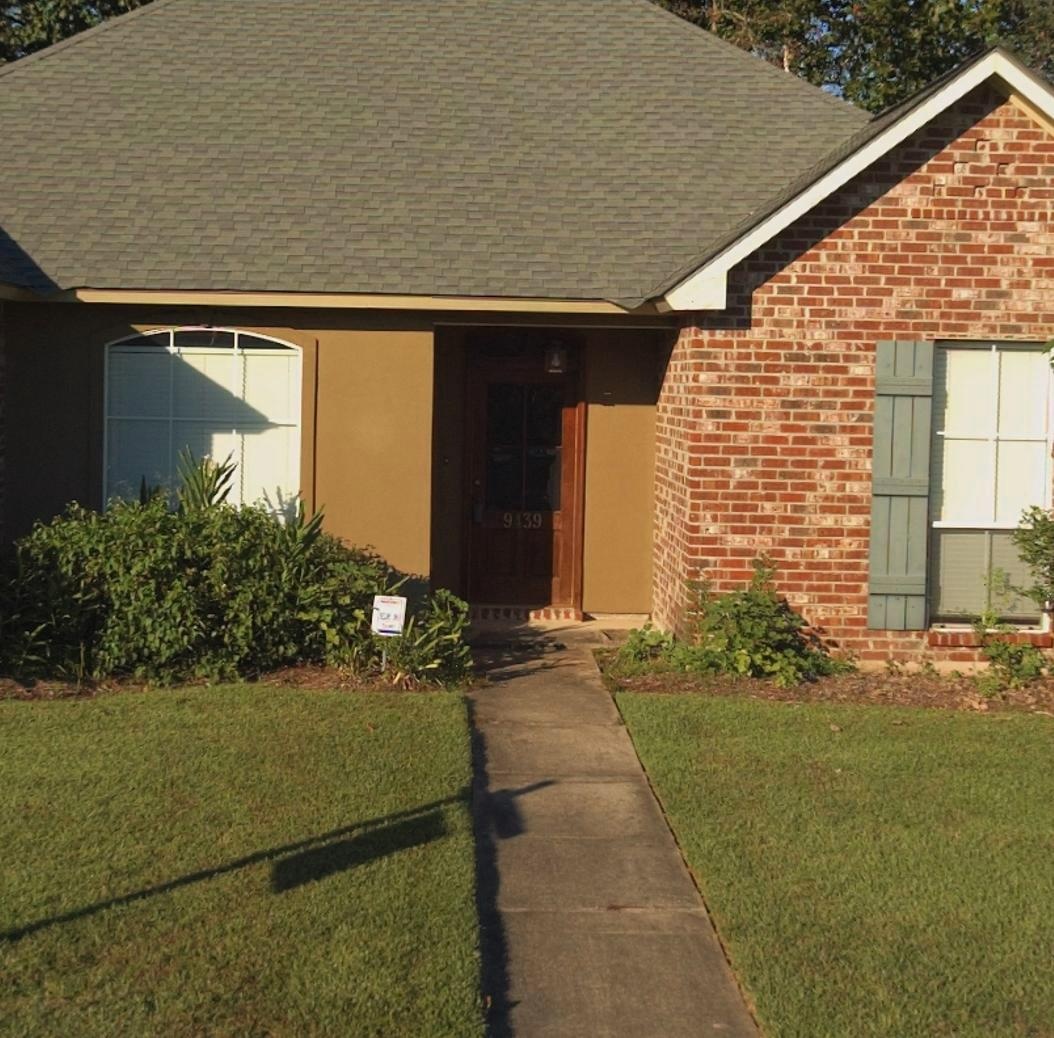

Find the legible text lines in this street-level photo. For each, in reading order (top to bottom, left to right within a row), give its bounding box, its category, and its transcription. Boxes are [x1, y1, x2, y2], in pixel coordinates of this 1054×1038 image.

[501, 511, 542, 529] StreetNumber: 9139